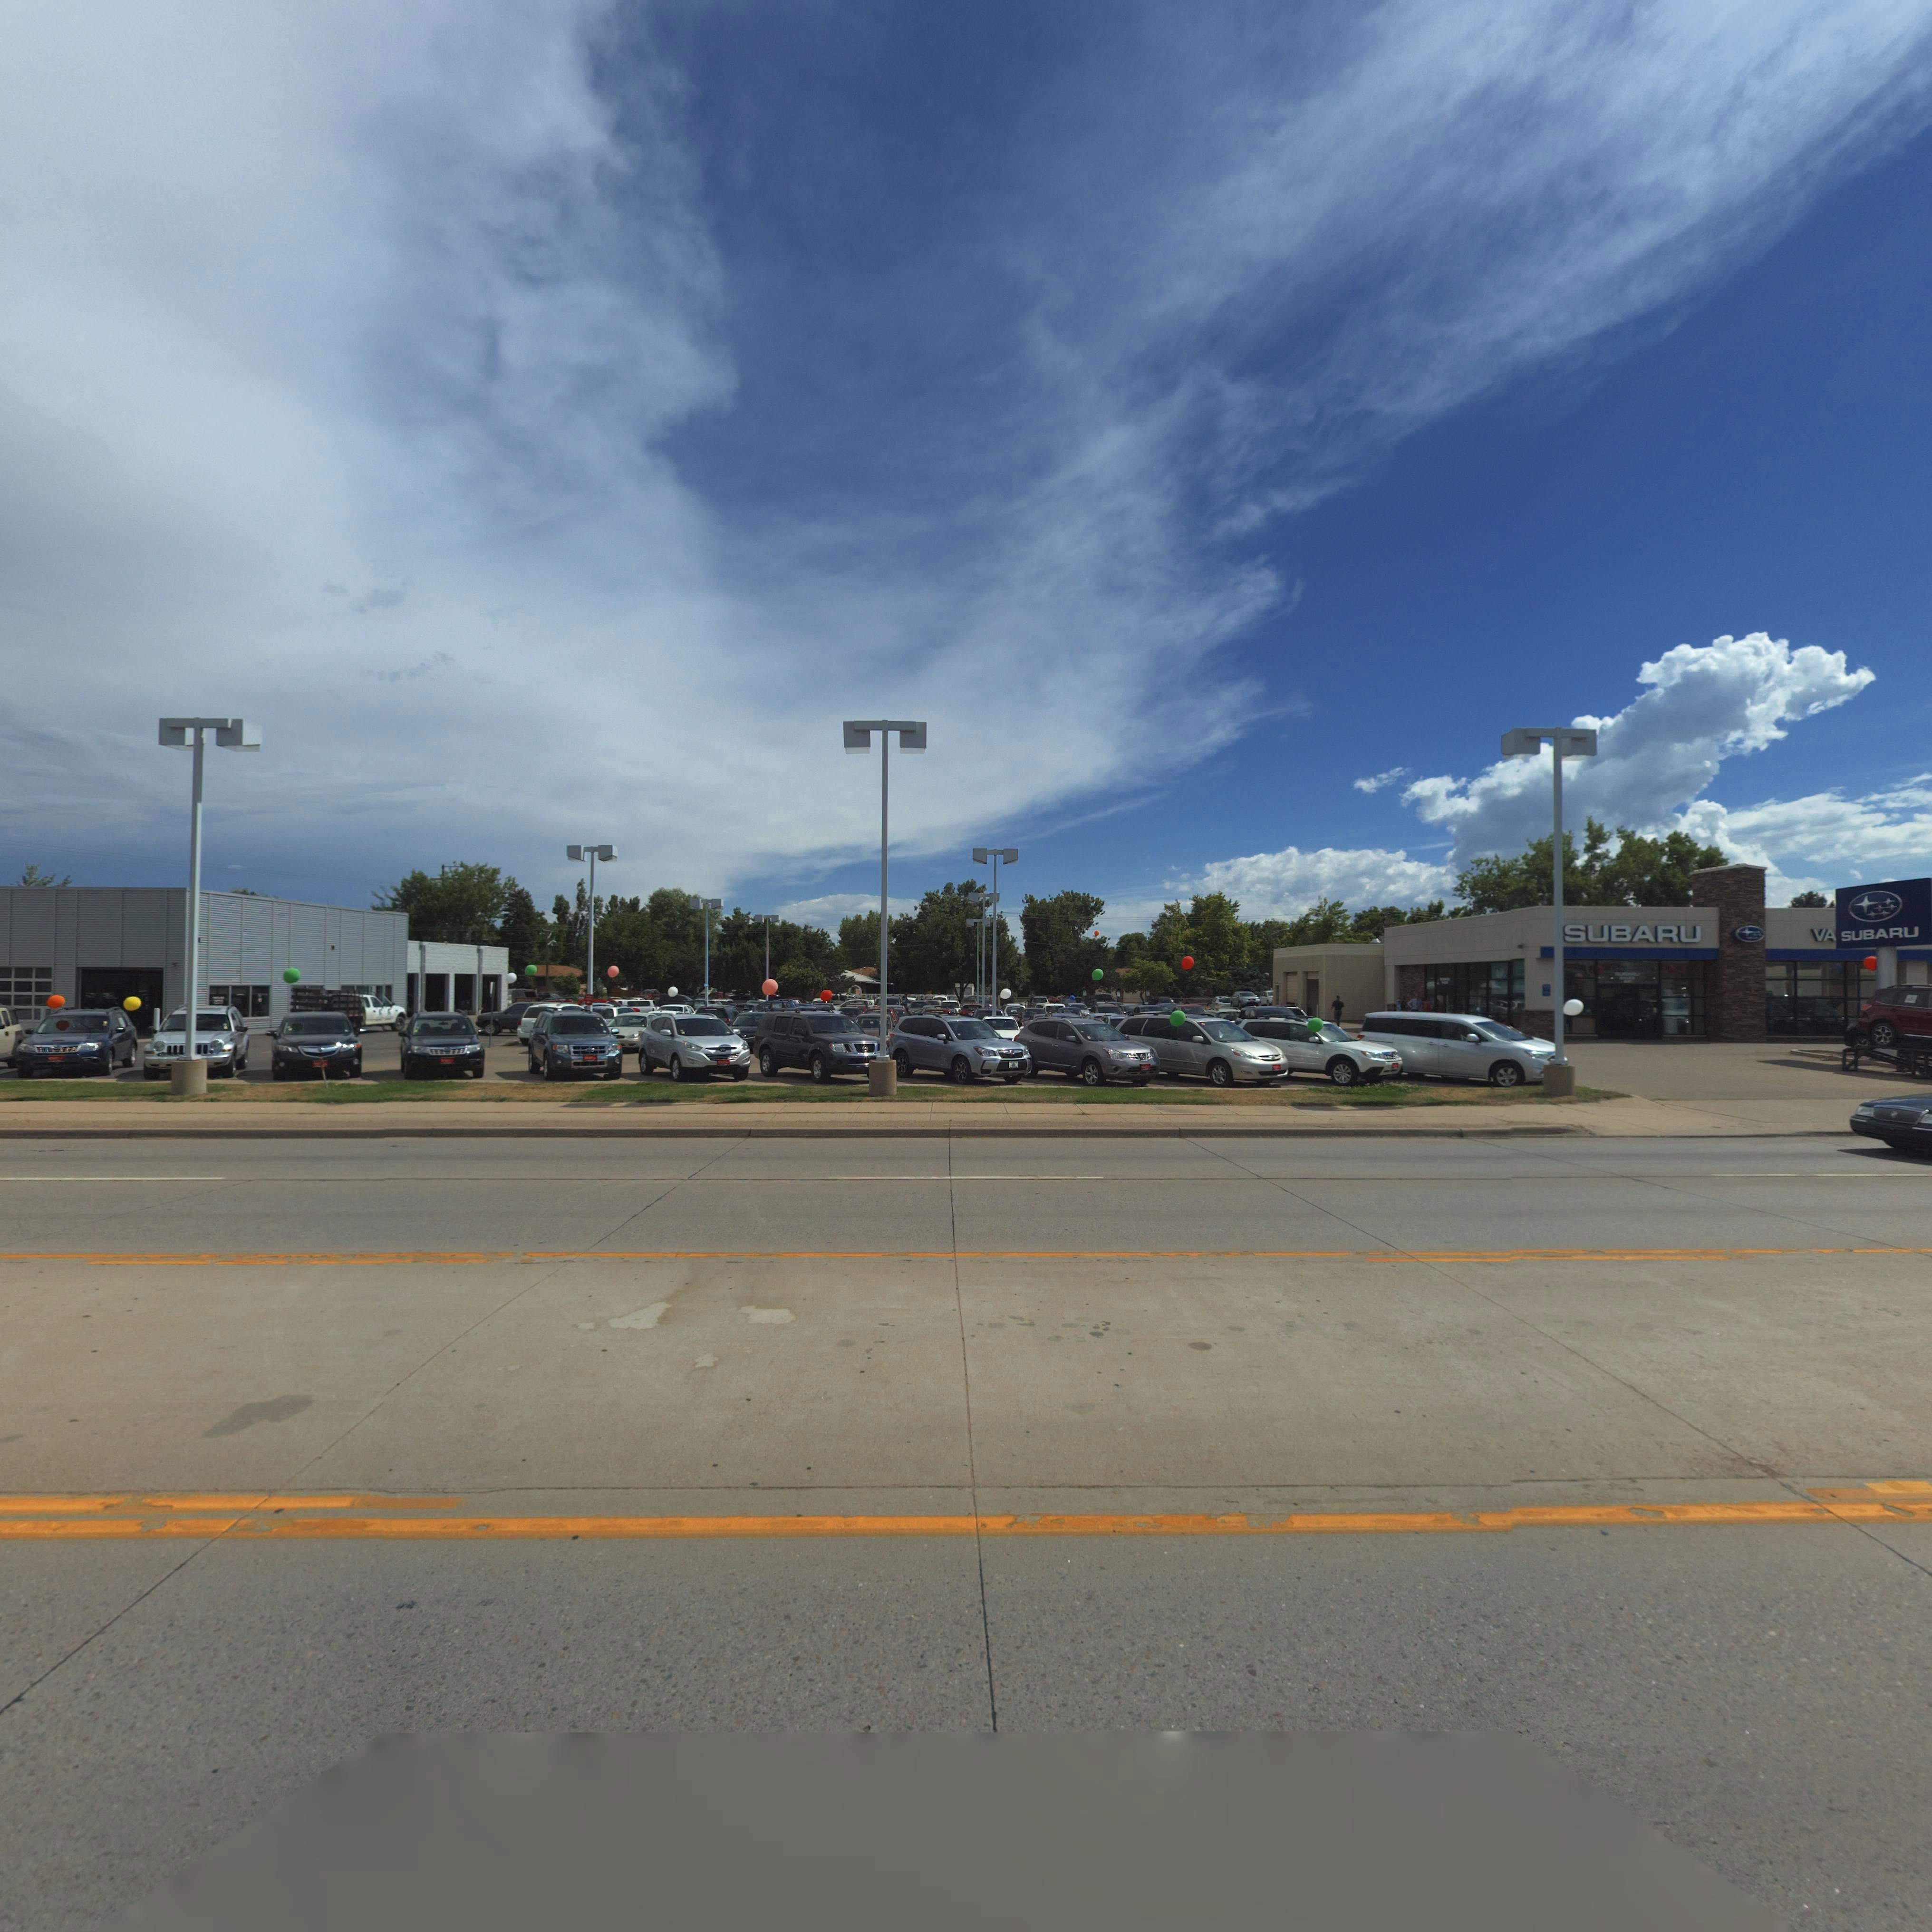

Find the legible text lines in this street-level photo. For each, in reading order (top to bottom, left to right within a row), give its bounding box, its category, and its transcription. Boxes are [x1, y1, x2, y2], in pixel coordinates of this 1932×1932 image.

[1563, 924, 1701, 943] BusinessName: SUBARU
[1810, 928, 1836, 941] BusinessName: VA
[1841, 925, 1919, 941] BusinessName: SUBARU